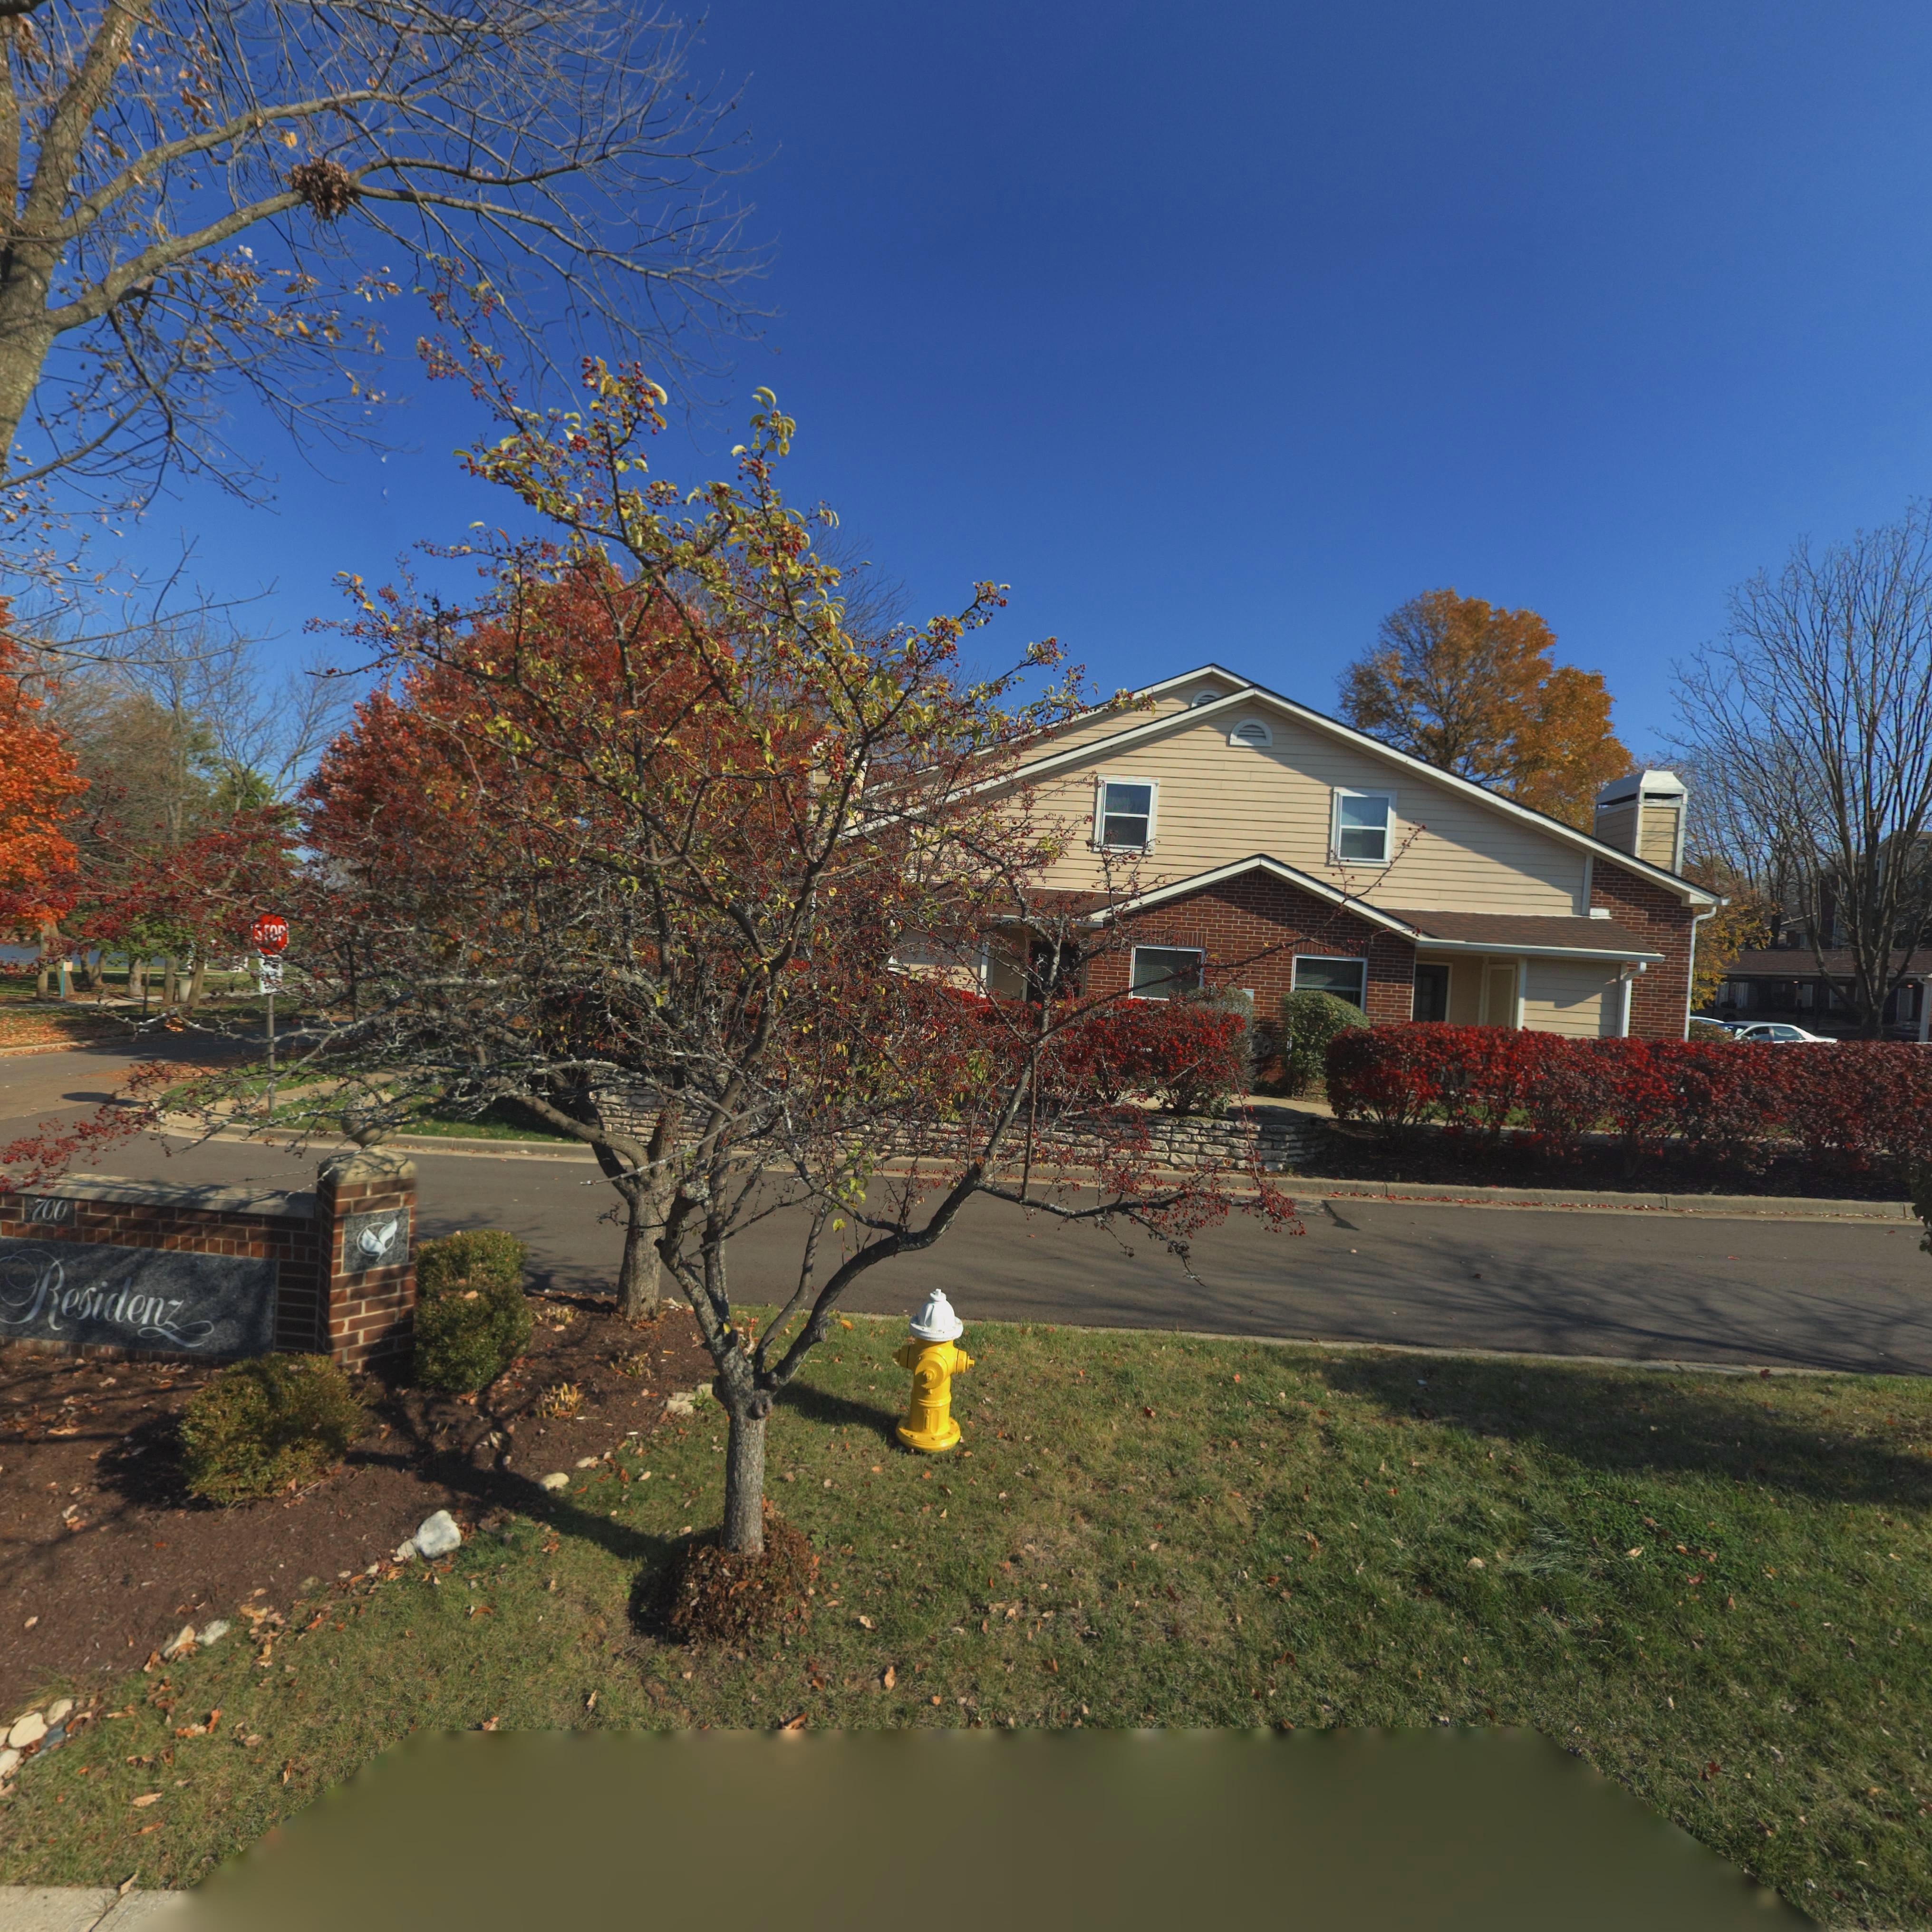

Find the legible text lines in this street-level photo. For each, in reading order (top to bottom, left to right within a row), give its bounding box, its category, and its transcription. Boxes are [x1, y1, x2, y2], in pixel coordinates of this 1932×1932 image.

[254, 923, 286, 942] None: STOP
[29, 1197, 71, 1222] StreetNumber: 700
[0, 1240, 218, 1349] BusinessName: Residenz